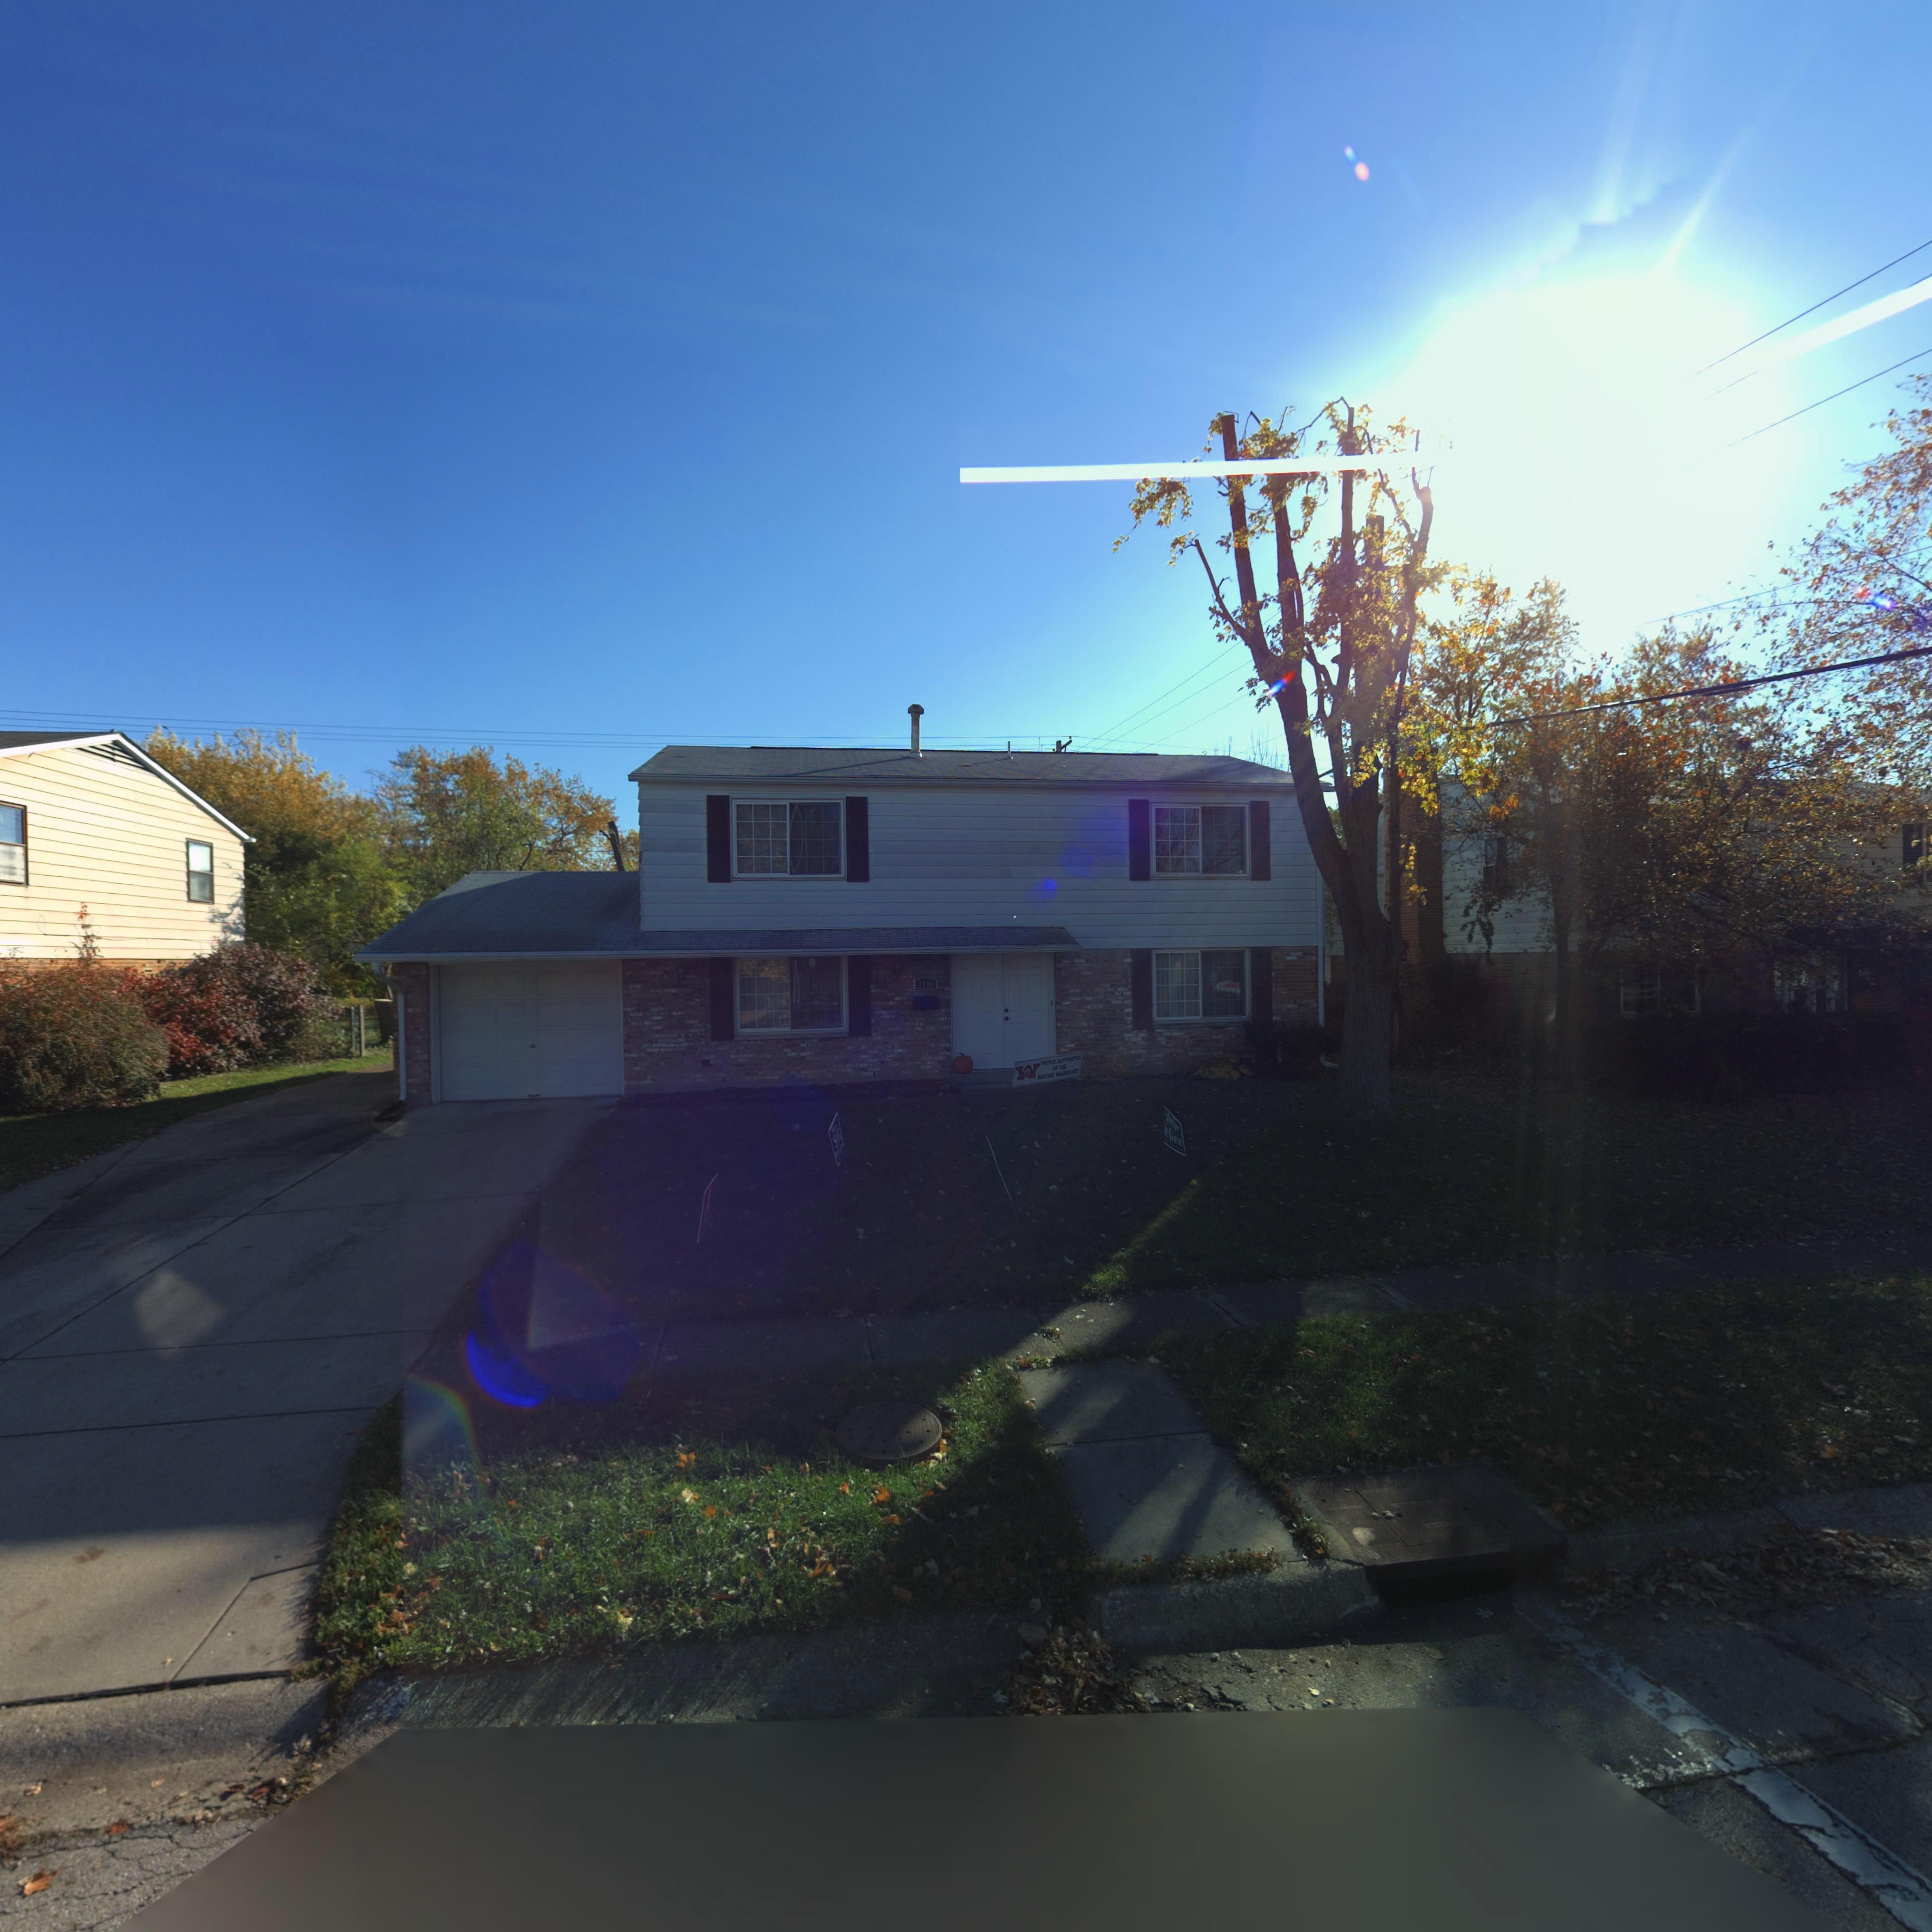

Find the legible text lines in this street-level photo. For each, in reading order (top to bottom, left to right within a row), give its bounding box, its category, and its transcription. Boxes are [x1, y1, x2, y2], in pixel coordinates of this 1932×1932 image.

[917, 981, 934, 989] StreetNumber: 7736